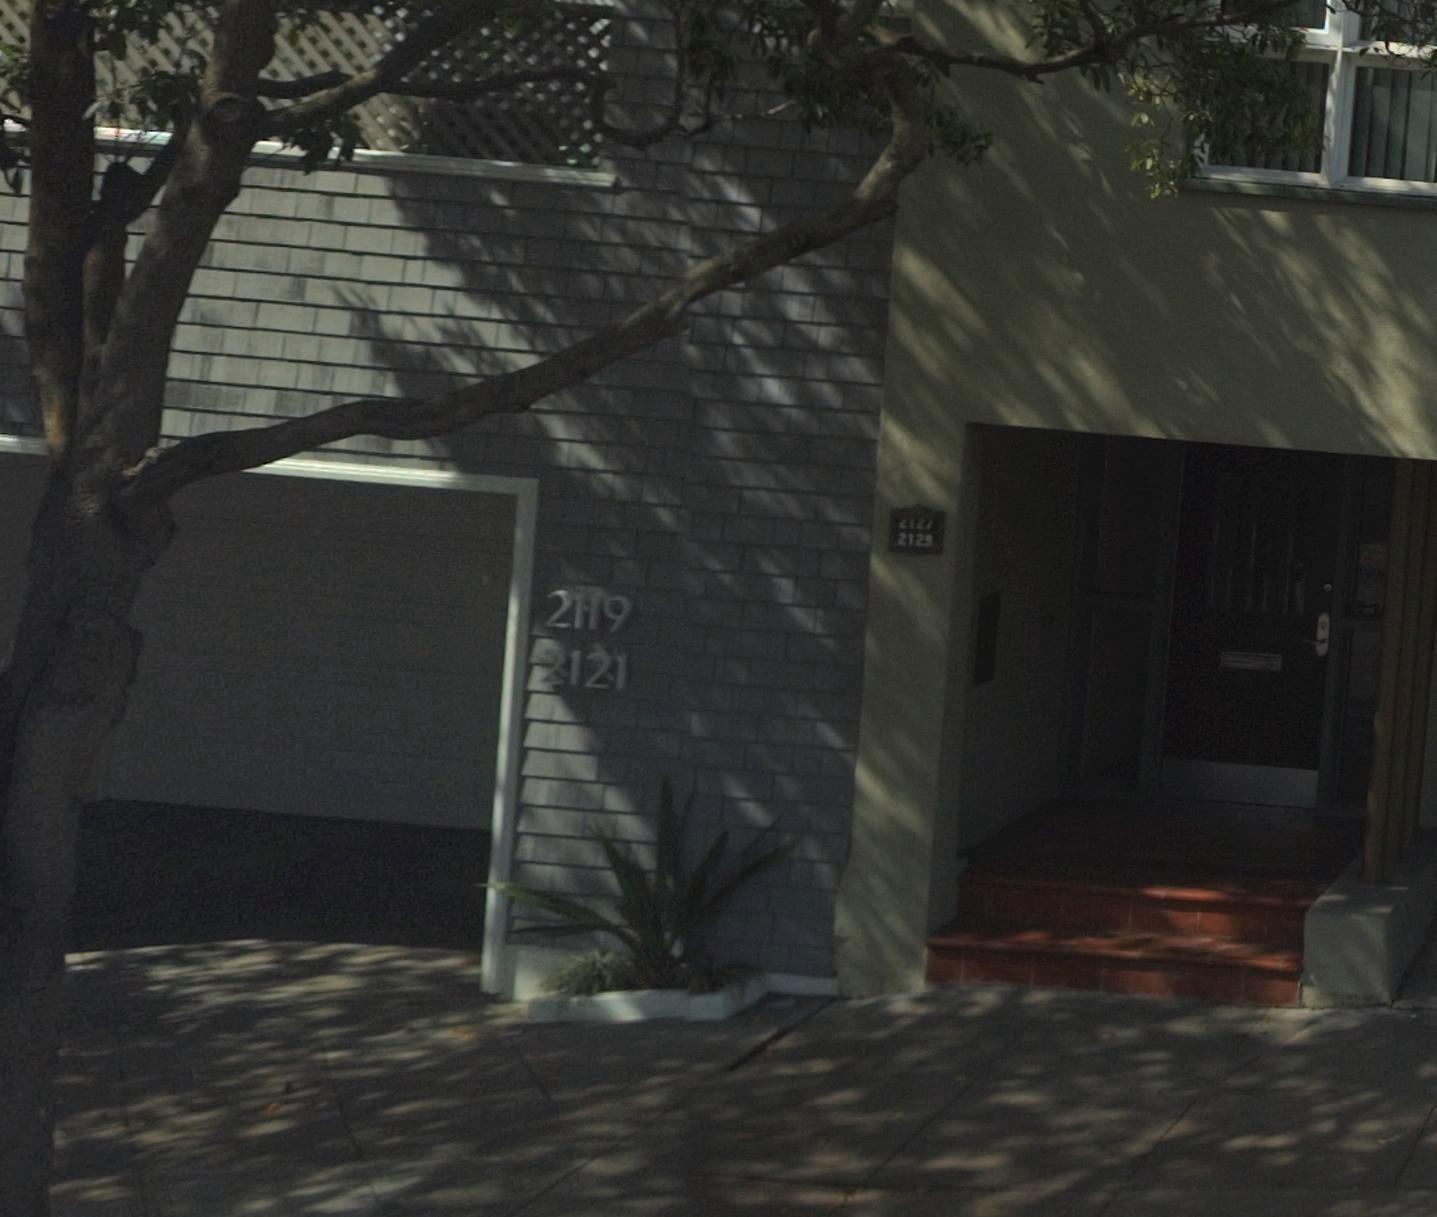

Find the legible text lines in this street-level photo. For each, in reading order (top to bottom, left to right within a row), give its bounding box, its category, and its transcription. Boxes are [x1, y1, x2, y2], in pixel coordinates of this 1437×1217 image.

[896, 529, 935, 549] StreetNumber: 2129
[896, 516, 936, 533] StreetNumber: 2127
[542, 588, 635, 635] StreetNumber: 2119
[534, 648, 627, 692] StreetNumber: 2121